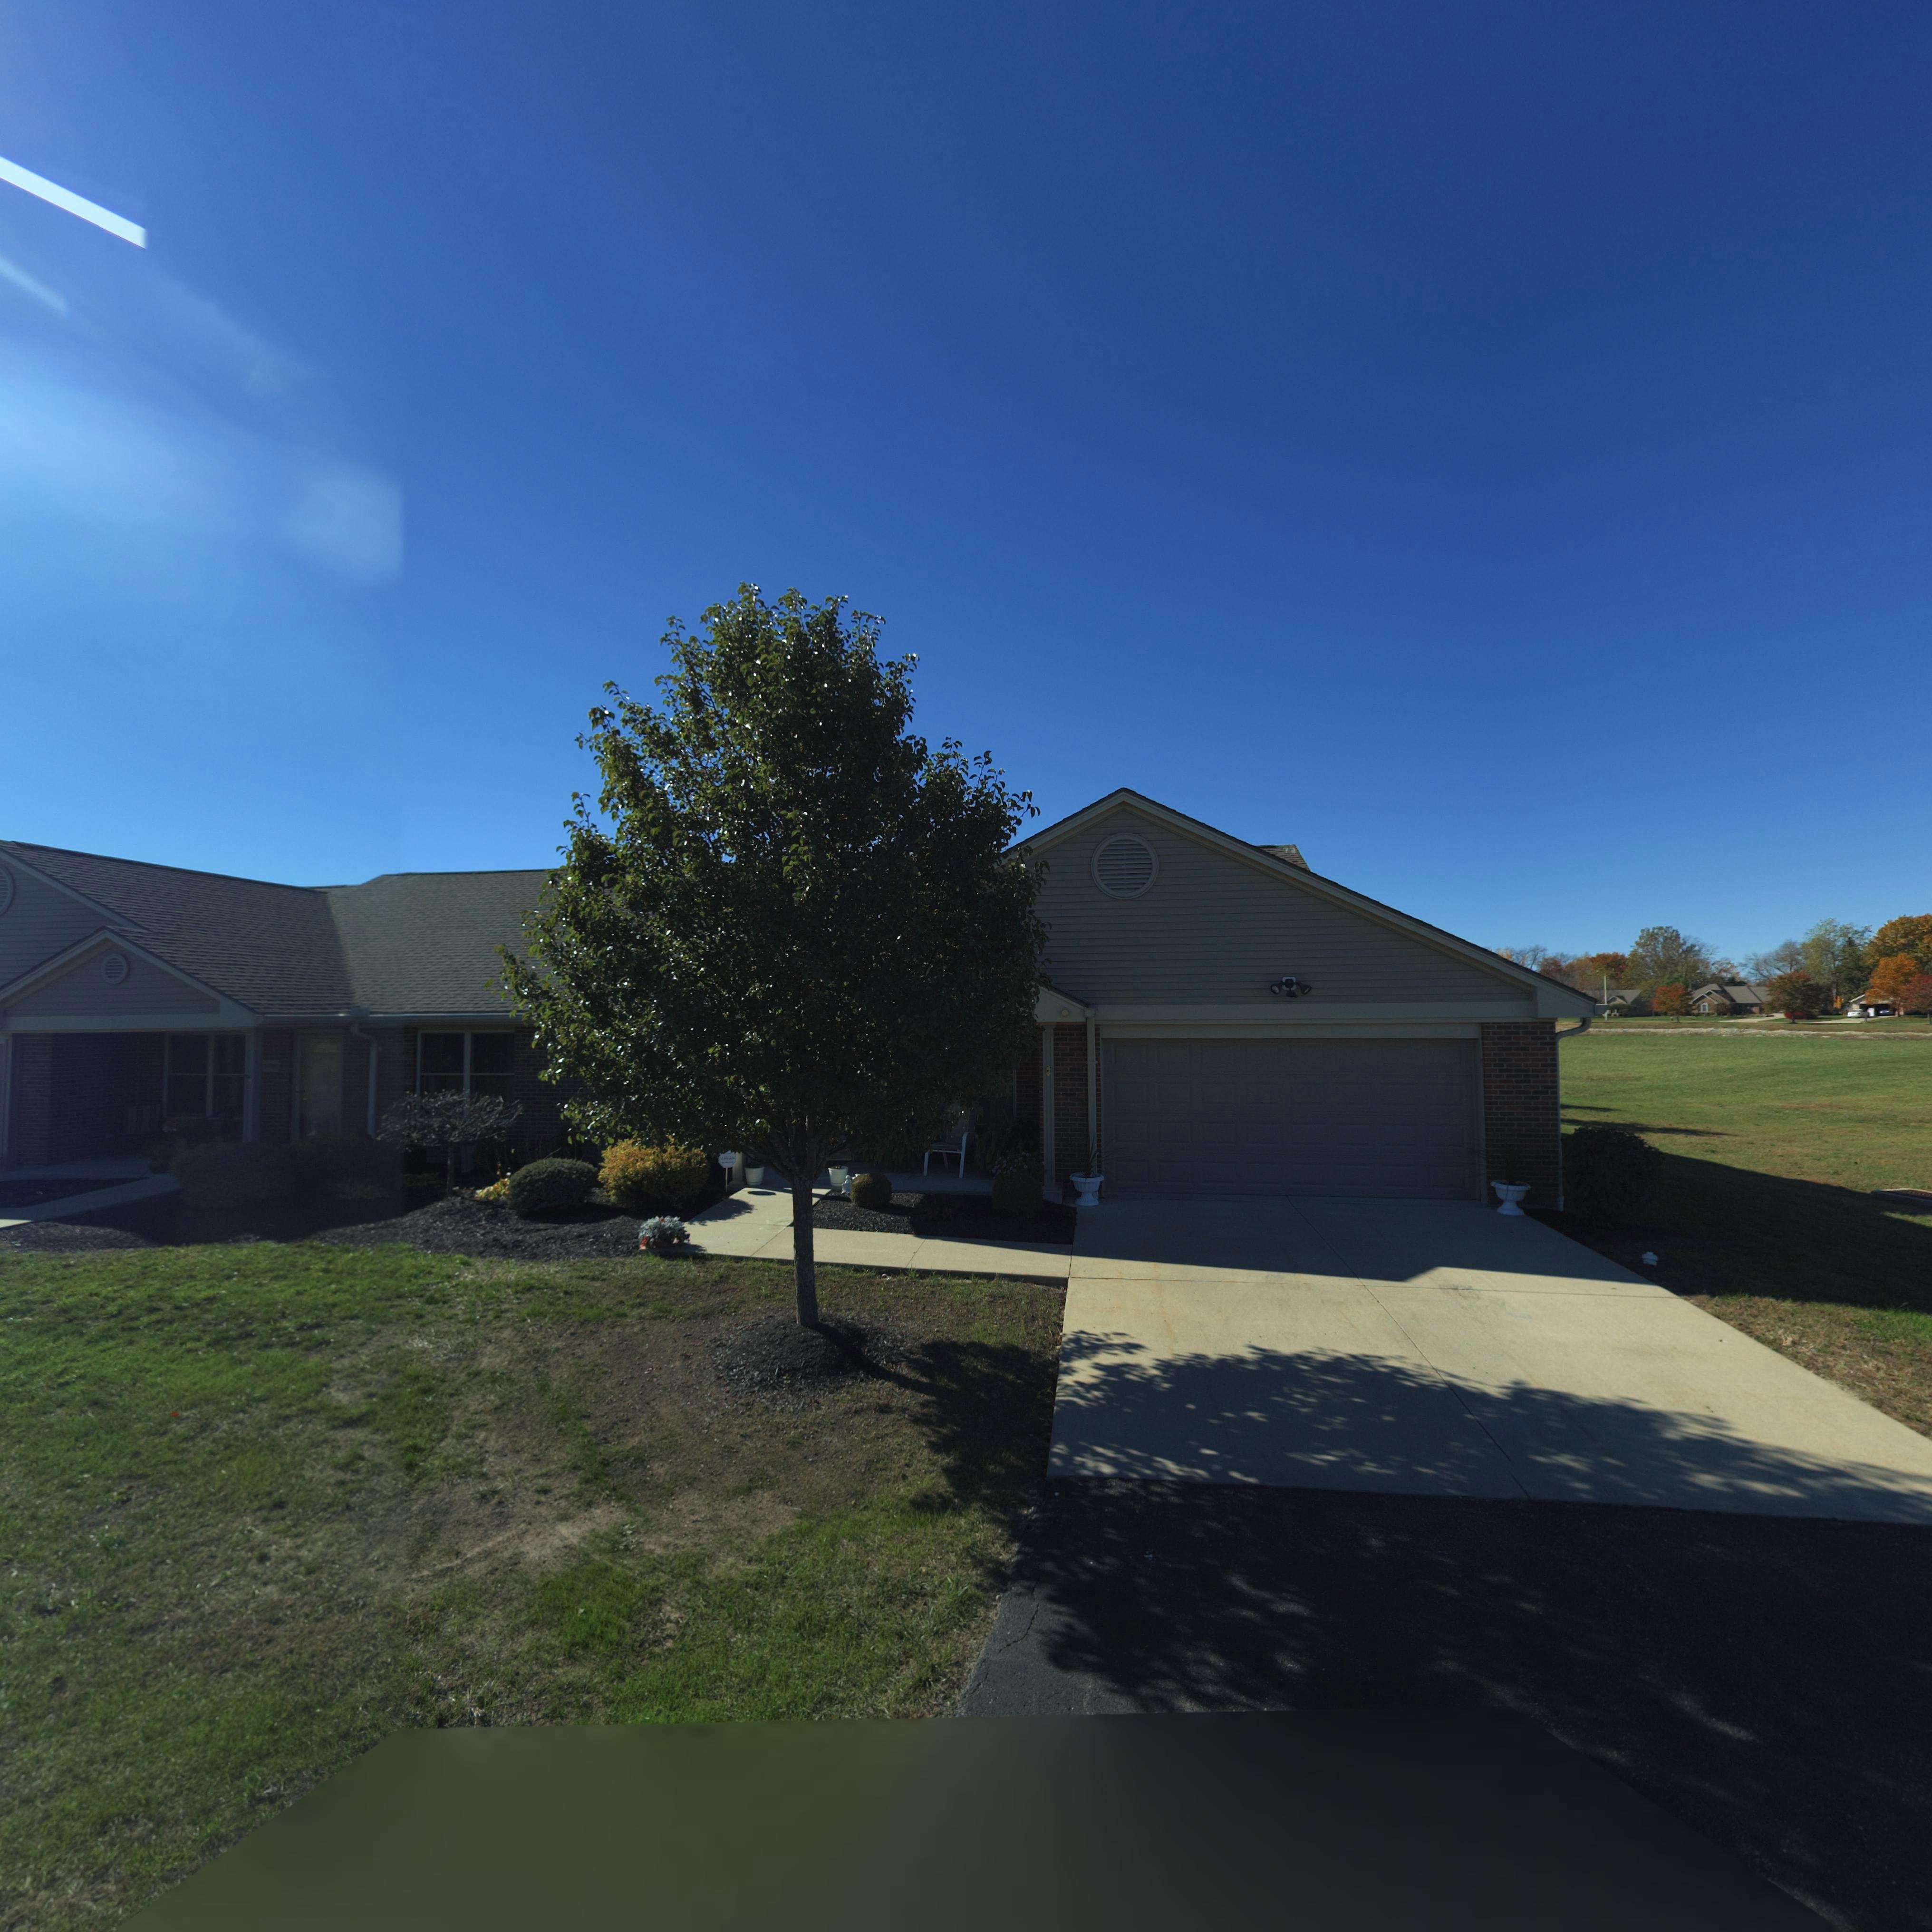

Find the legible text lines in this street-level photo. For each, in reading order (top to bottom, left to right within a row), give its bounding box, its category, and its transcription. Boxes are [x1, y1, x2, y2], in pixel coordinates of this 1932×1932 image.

[263, 1063, 276, 1070] StreetNumber: *0*